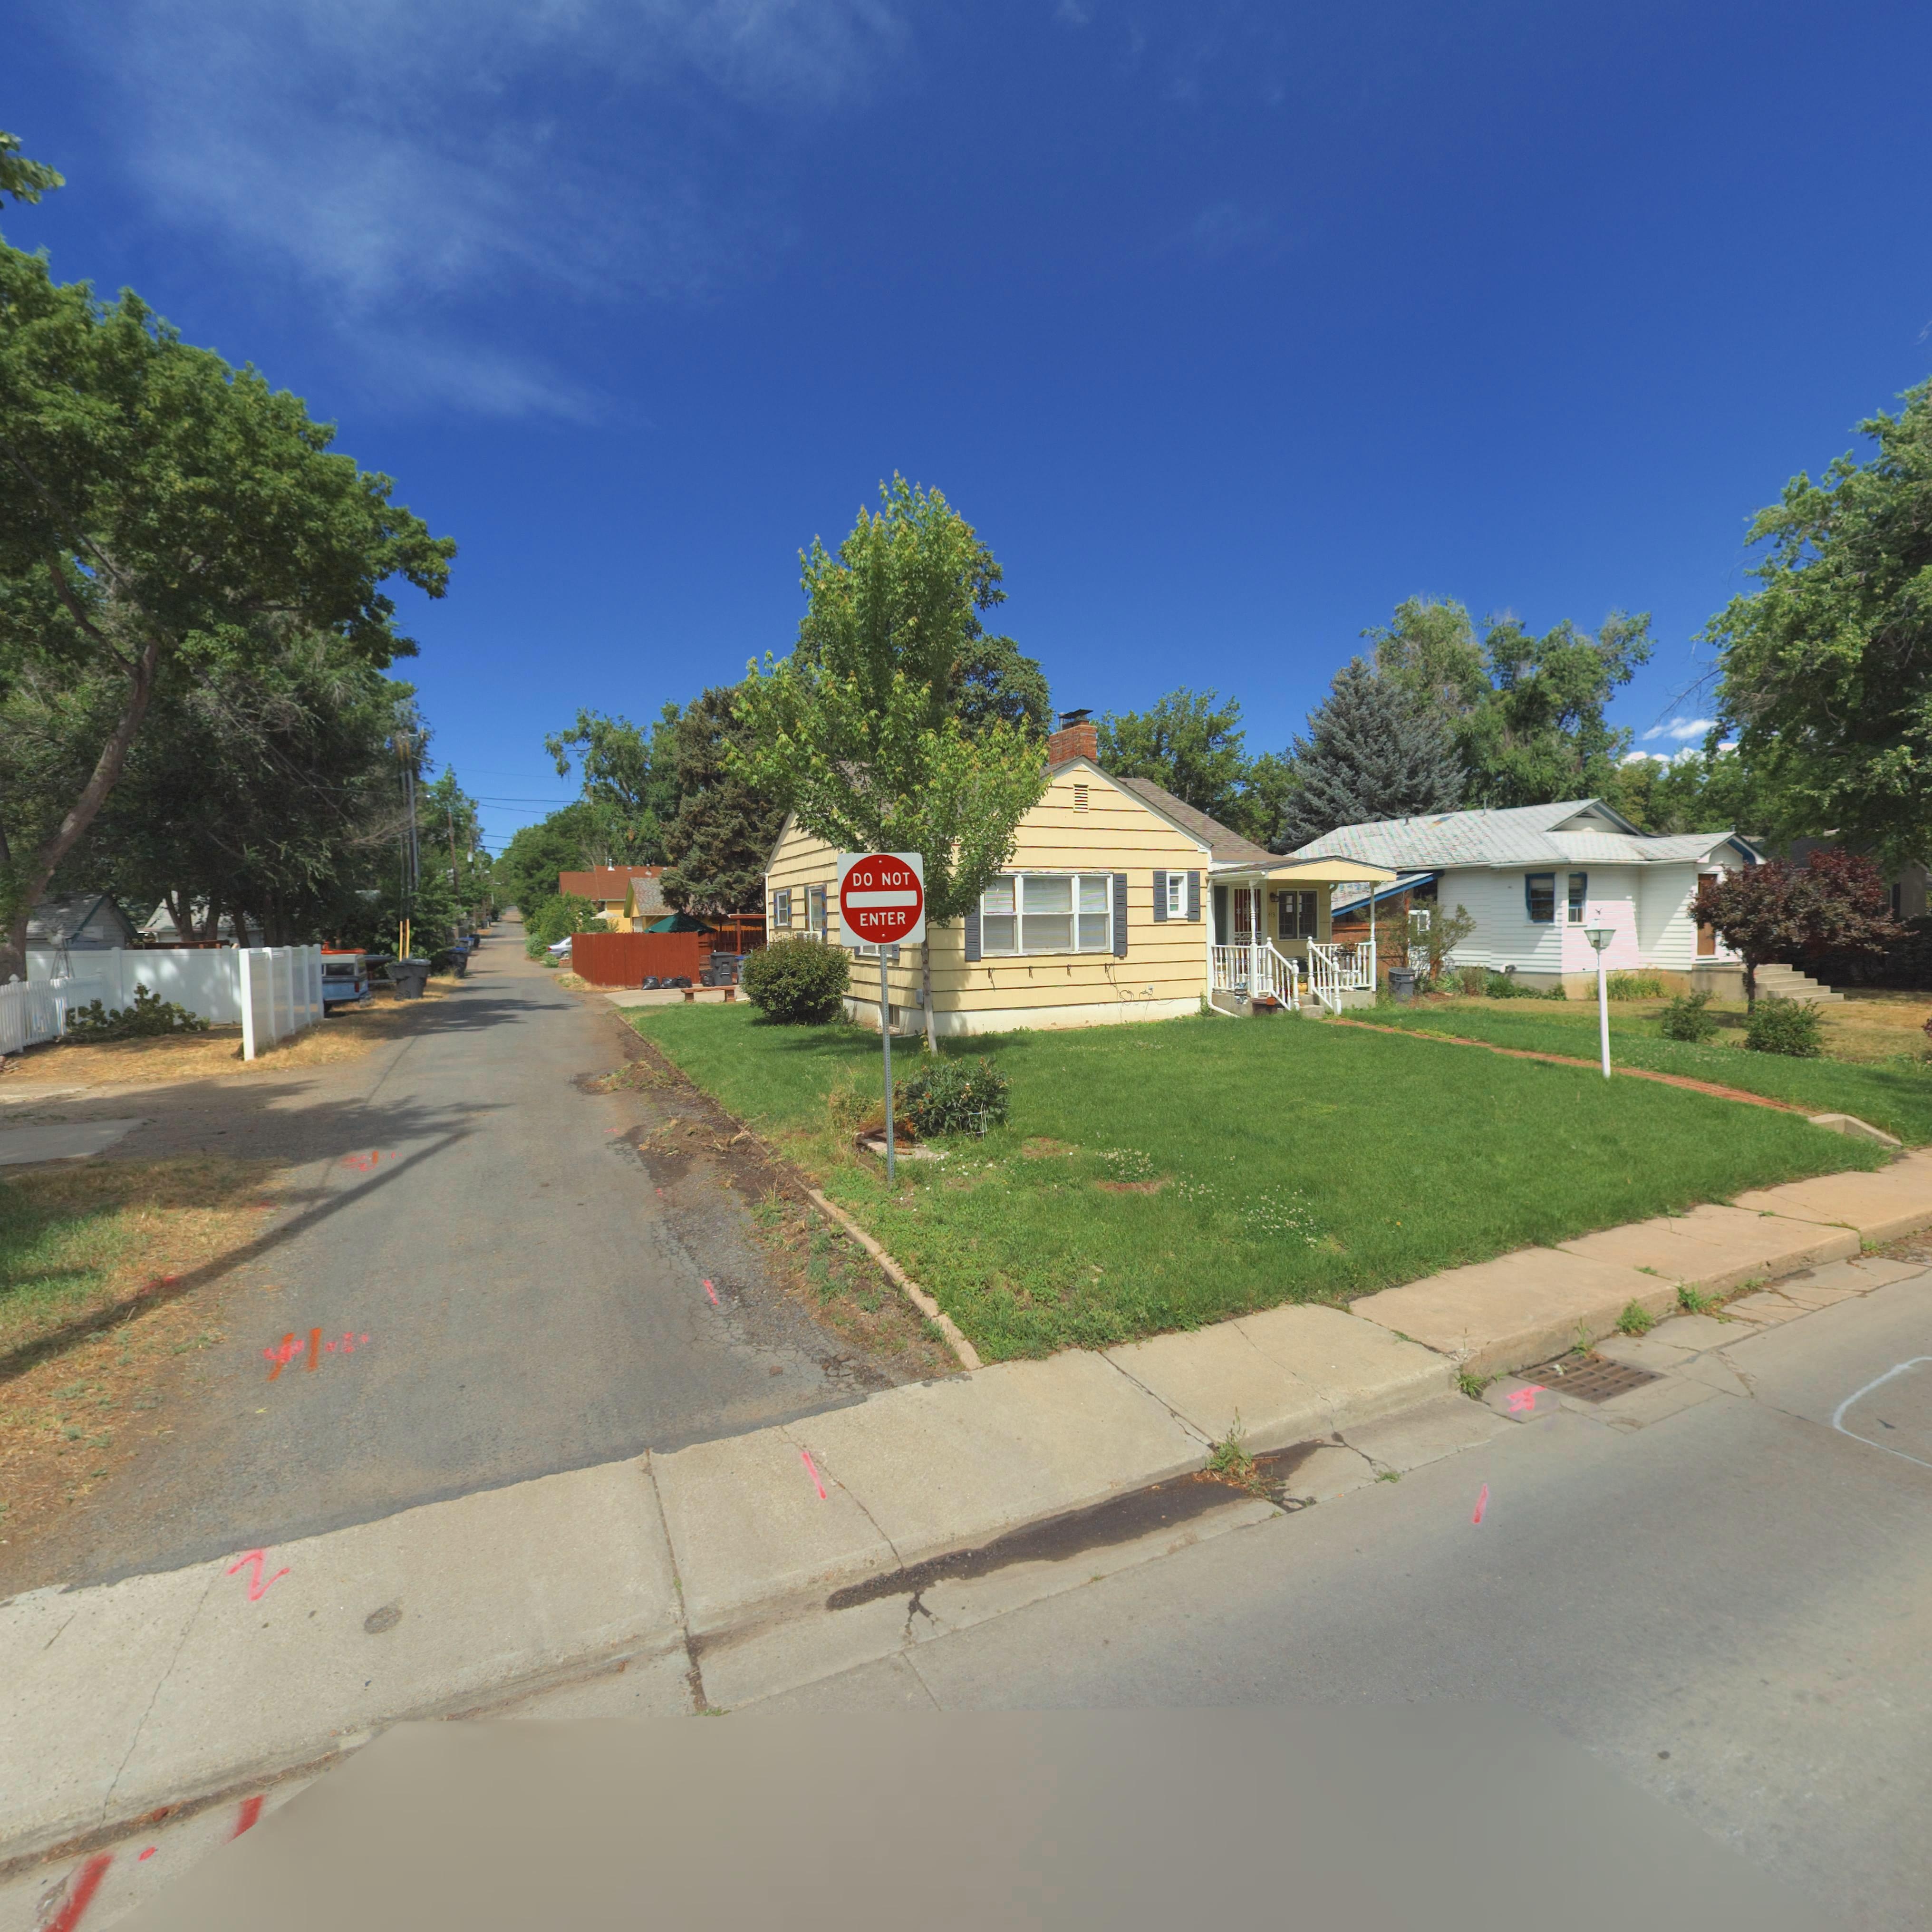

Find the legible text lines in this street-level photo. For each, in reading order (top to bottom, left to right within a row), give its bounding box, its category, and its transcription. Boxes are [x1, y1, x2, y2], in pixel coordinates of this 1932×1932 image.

[1266, 908, 1276, 918] StreetNumber: 413